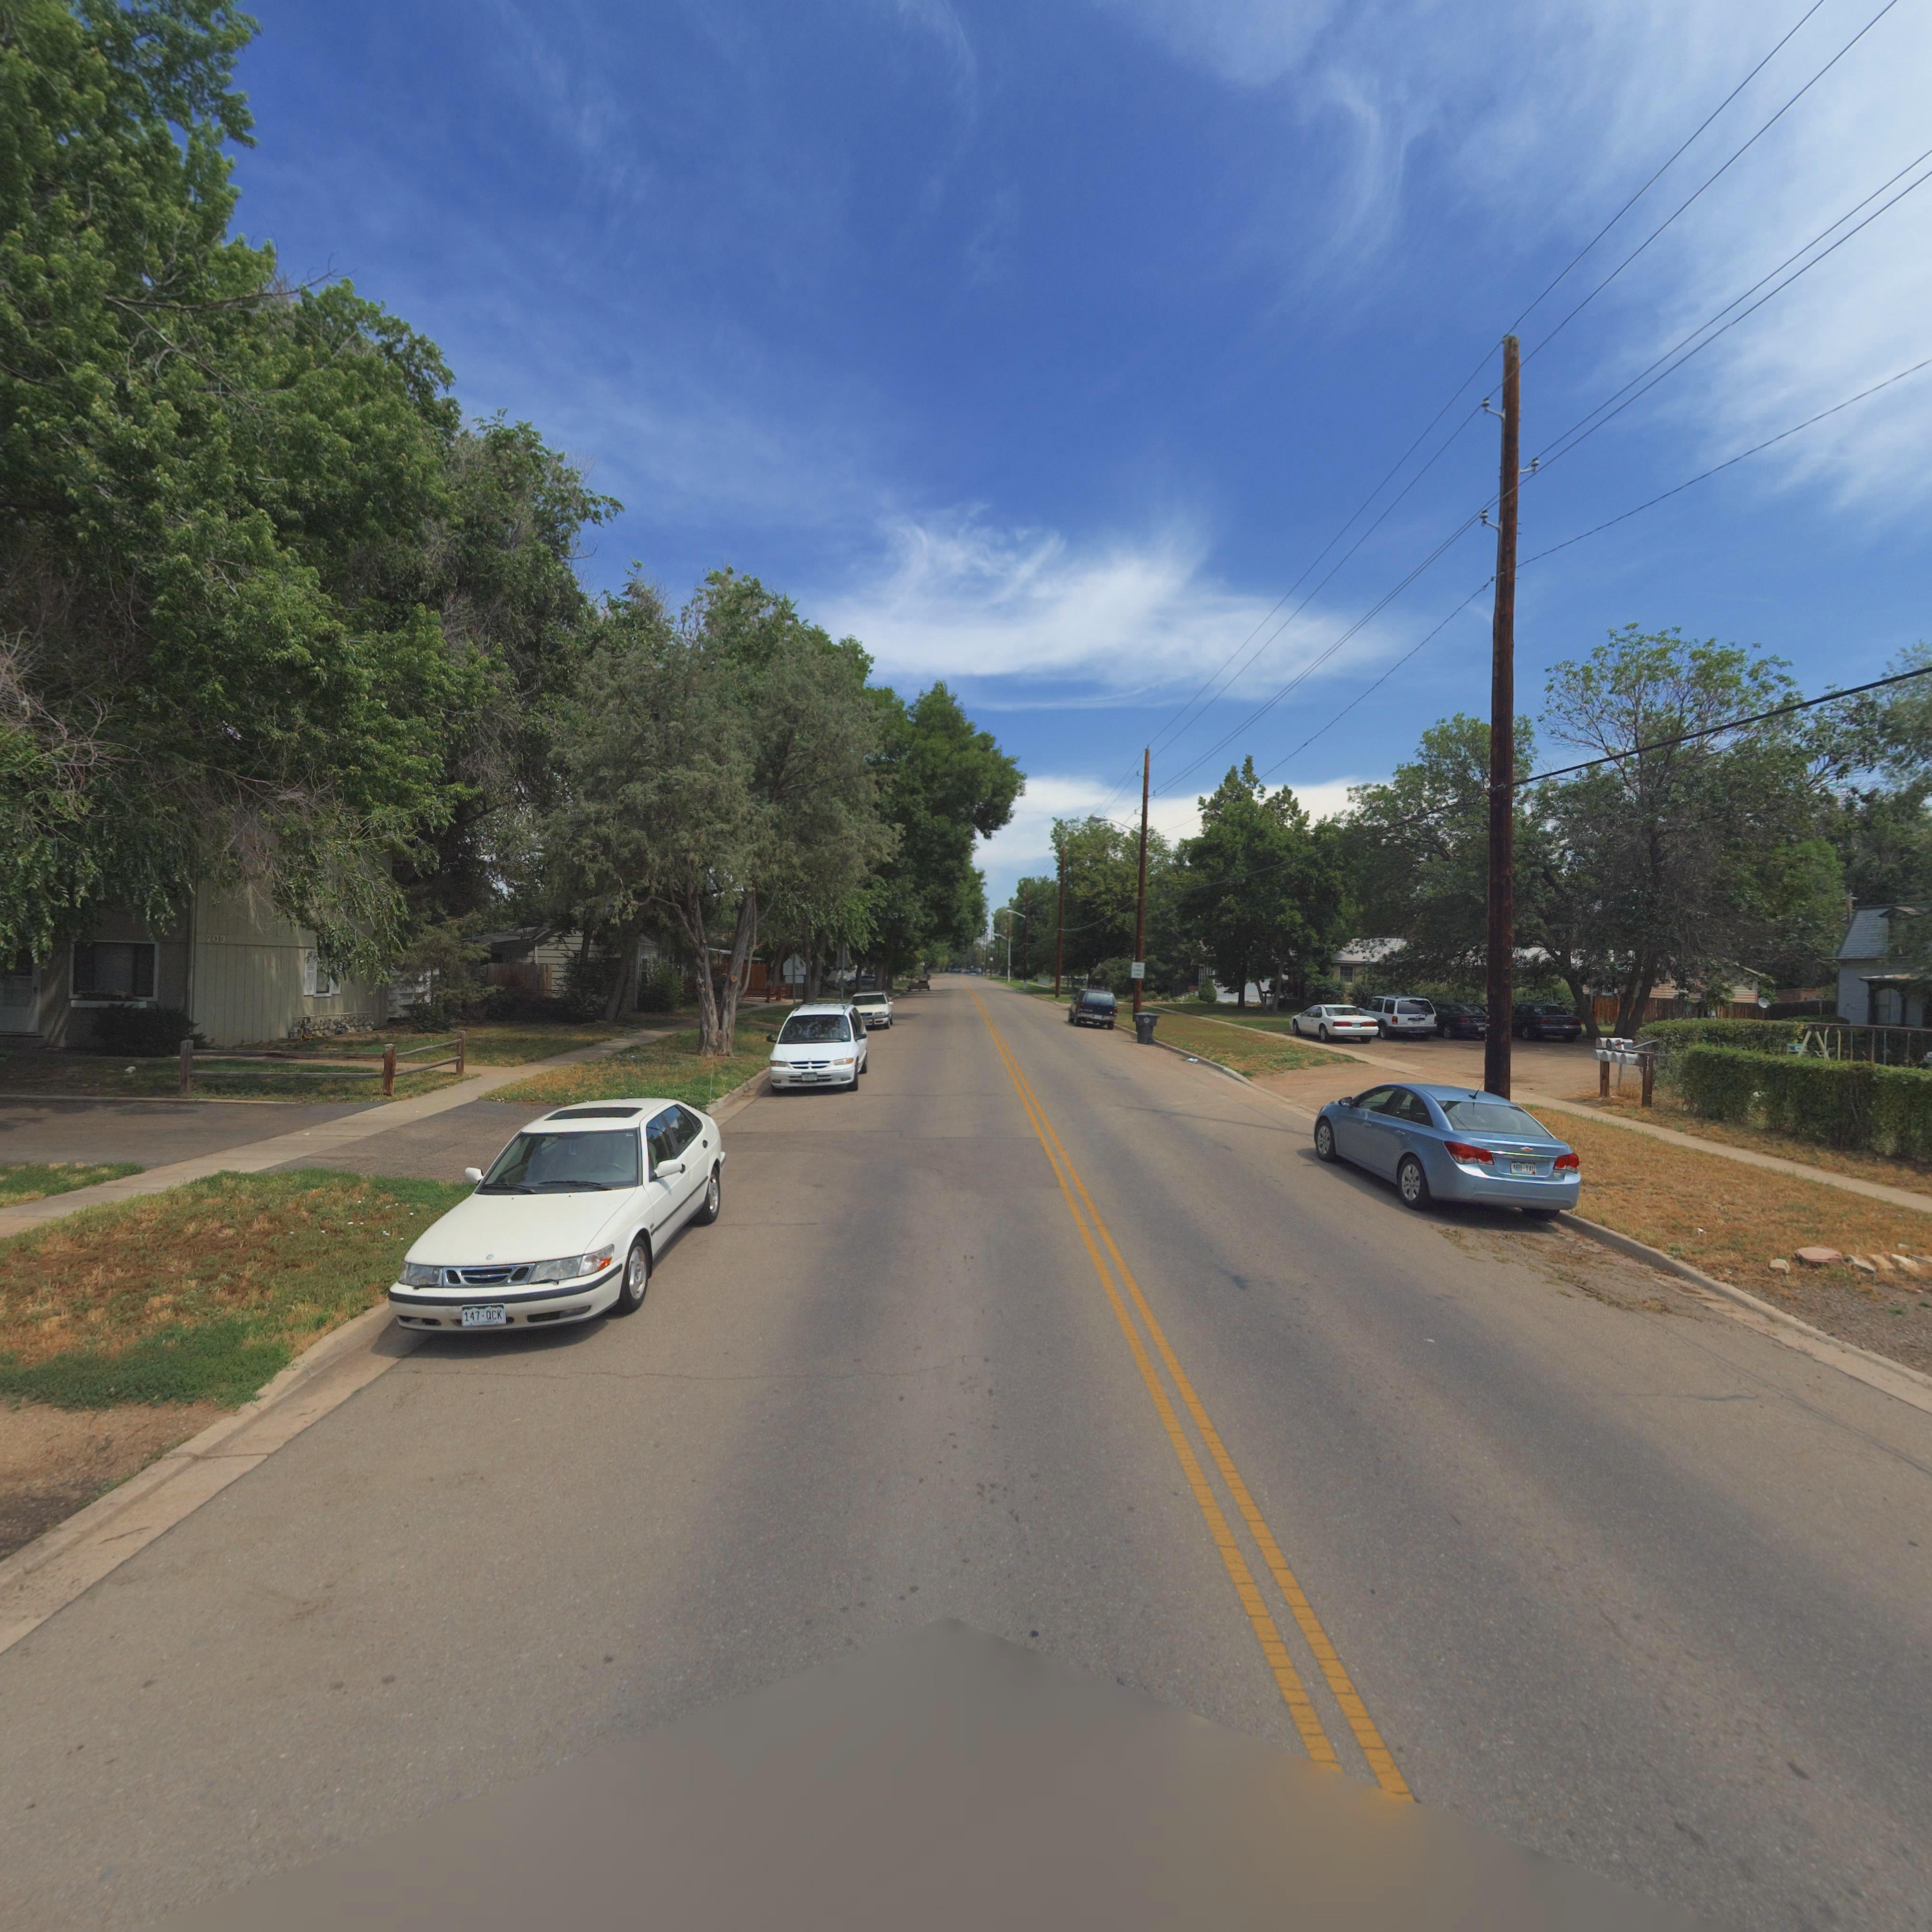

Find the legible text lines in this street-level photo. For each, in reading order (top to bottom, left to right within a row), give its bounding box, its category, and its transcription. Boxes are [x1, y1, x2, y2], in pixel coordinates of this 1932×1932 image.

[206, 935, 225, 943] StreetNumber: 709
[1645, 1055, 1650, 1071] StreetNumber: 712